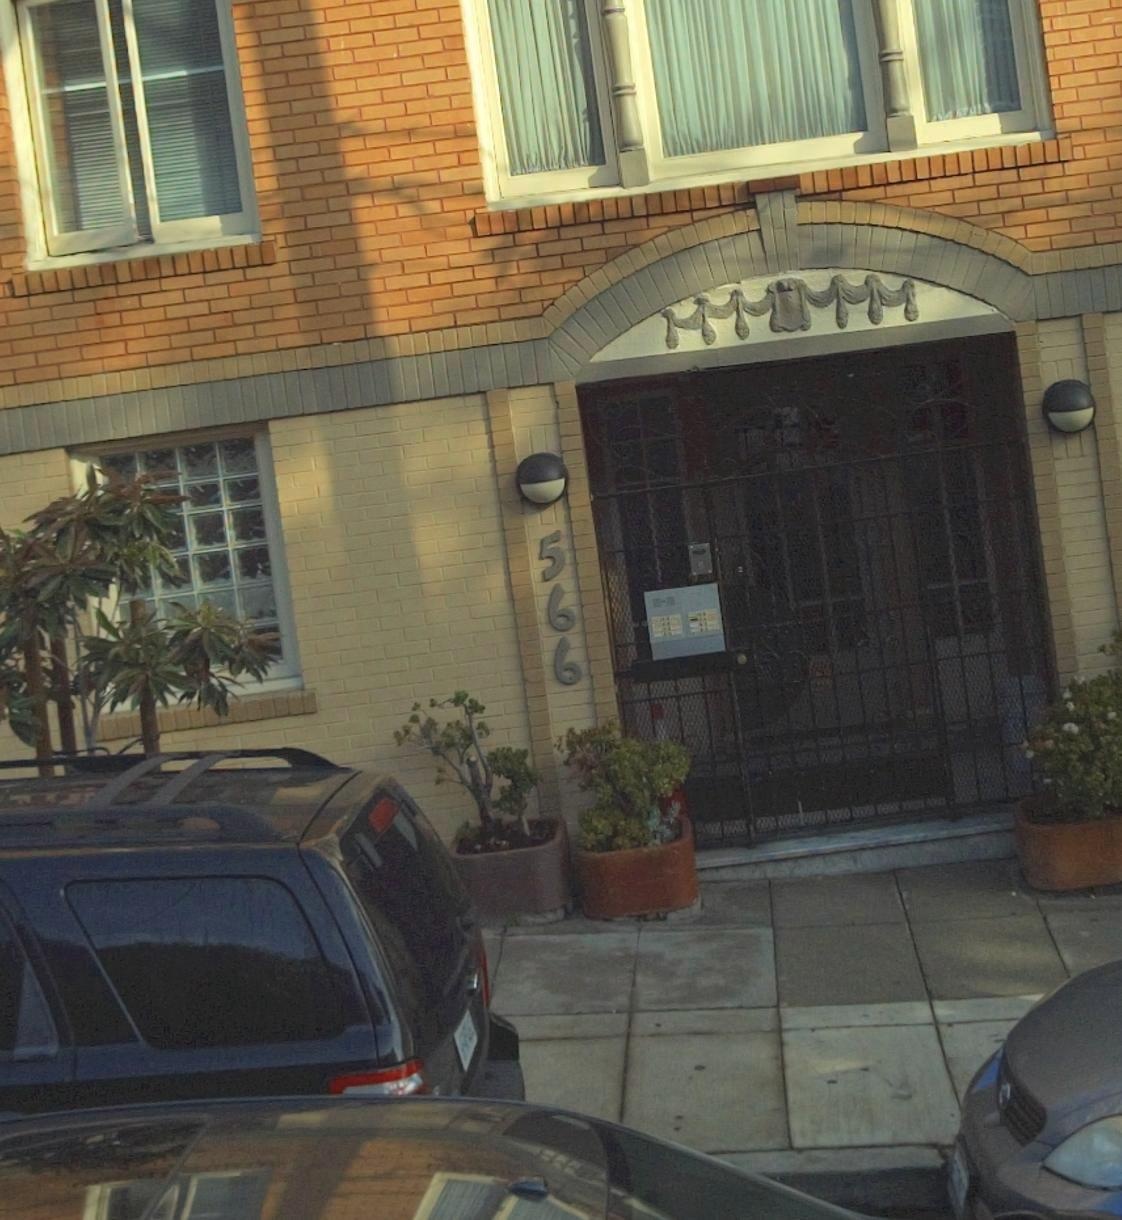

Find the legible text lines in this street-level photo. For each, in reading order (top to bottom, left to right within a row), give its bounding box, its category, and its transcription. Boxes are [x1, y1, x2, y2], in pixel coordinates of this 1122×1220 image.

[533, 523, 587, 690] StreetNumber: 566